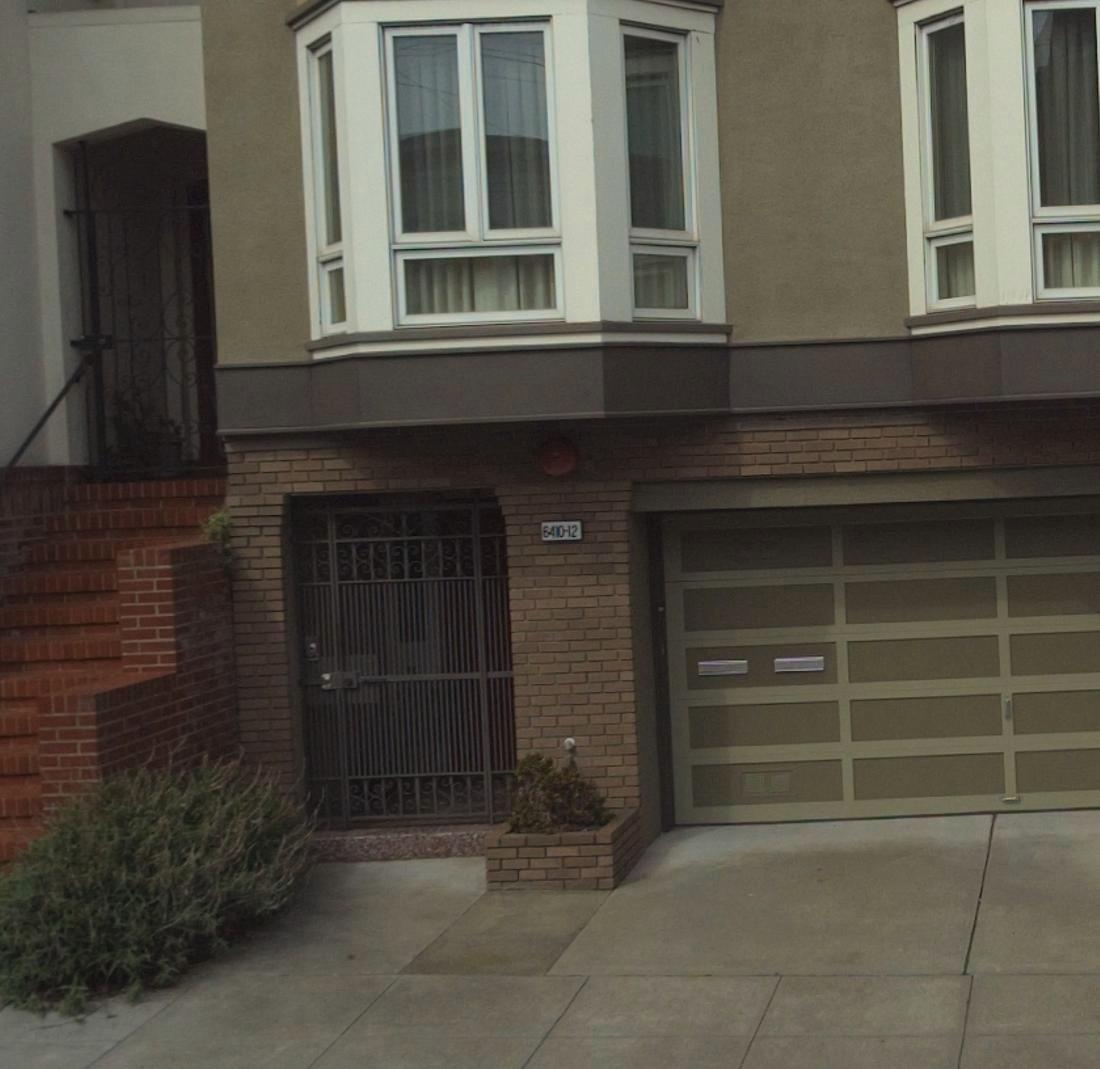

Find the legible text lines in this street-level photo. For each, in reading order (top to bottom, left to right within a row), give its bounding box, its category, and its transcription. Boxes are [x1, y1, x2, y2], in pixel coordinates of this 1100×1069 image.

[542, 524, 565, 540] StreetNumber: 6410
[566, 523, 579, 539] StreetNumber: 12